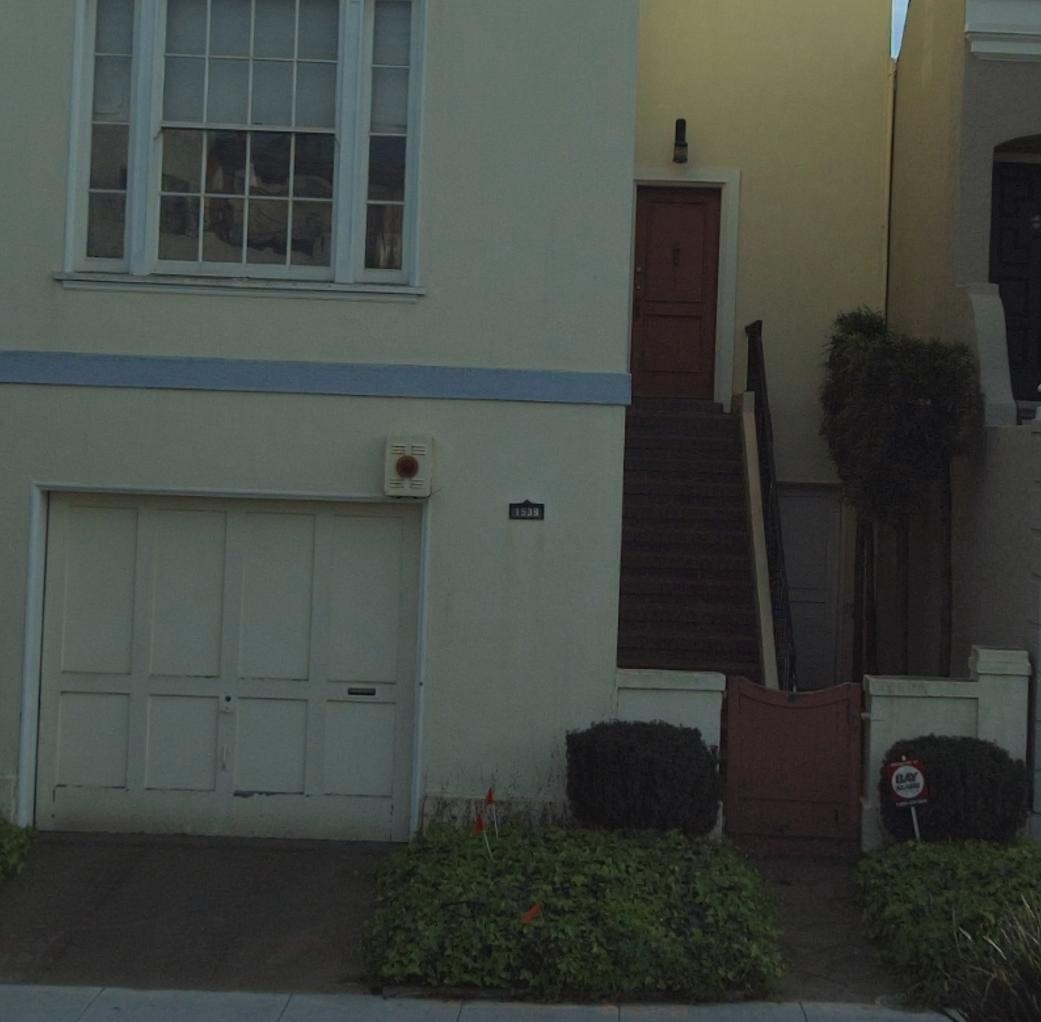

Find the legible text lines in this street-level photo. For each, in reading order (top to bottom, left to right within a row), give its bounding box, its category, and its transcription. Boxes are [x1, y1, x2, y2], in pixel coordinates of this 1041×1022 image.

[513, 505, 541, 519] StreetNumber: 1539
[893, 769, 921, 787] None: BAY